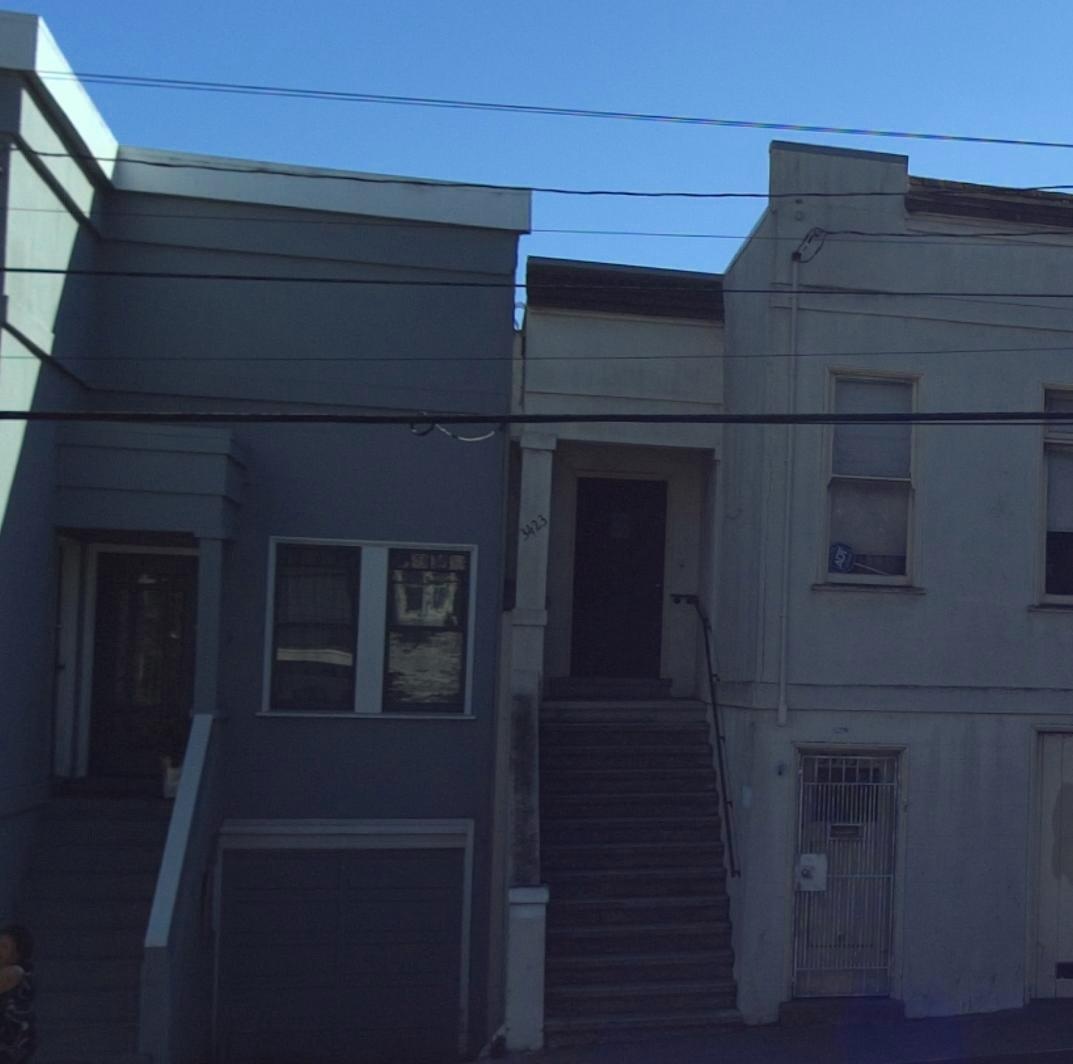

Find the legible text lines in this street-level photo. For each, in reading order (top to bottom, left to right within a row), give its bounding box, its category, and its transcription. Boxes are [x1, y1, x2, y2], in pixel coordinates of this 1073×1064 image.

[518, 510, 551, 544] StreetNumber: 3423
[832, 544, 849, 570] None: ADT